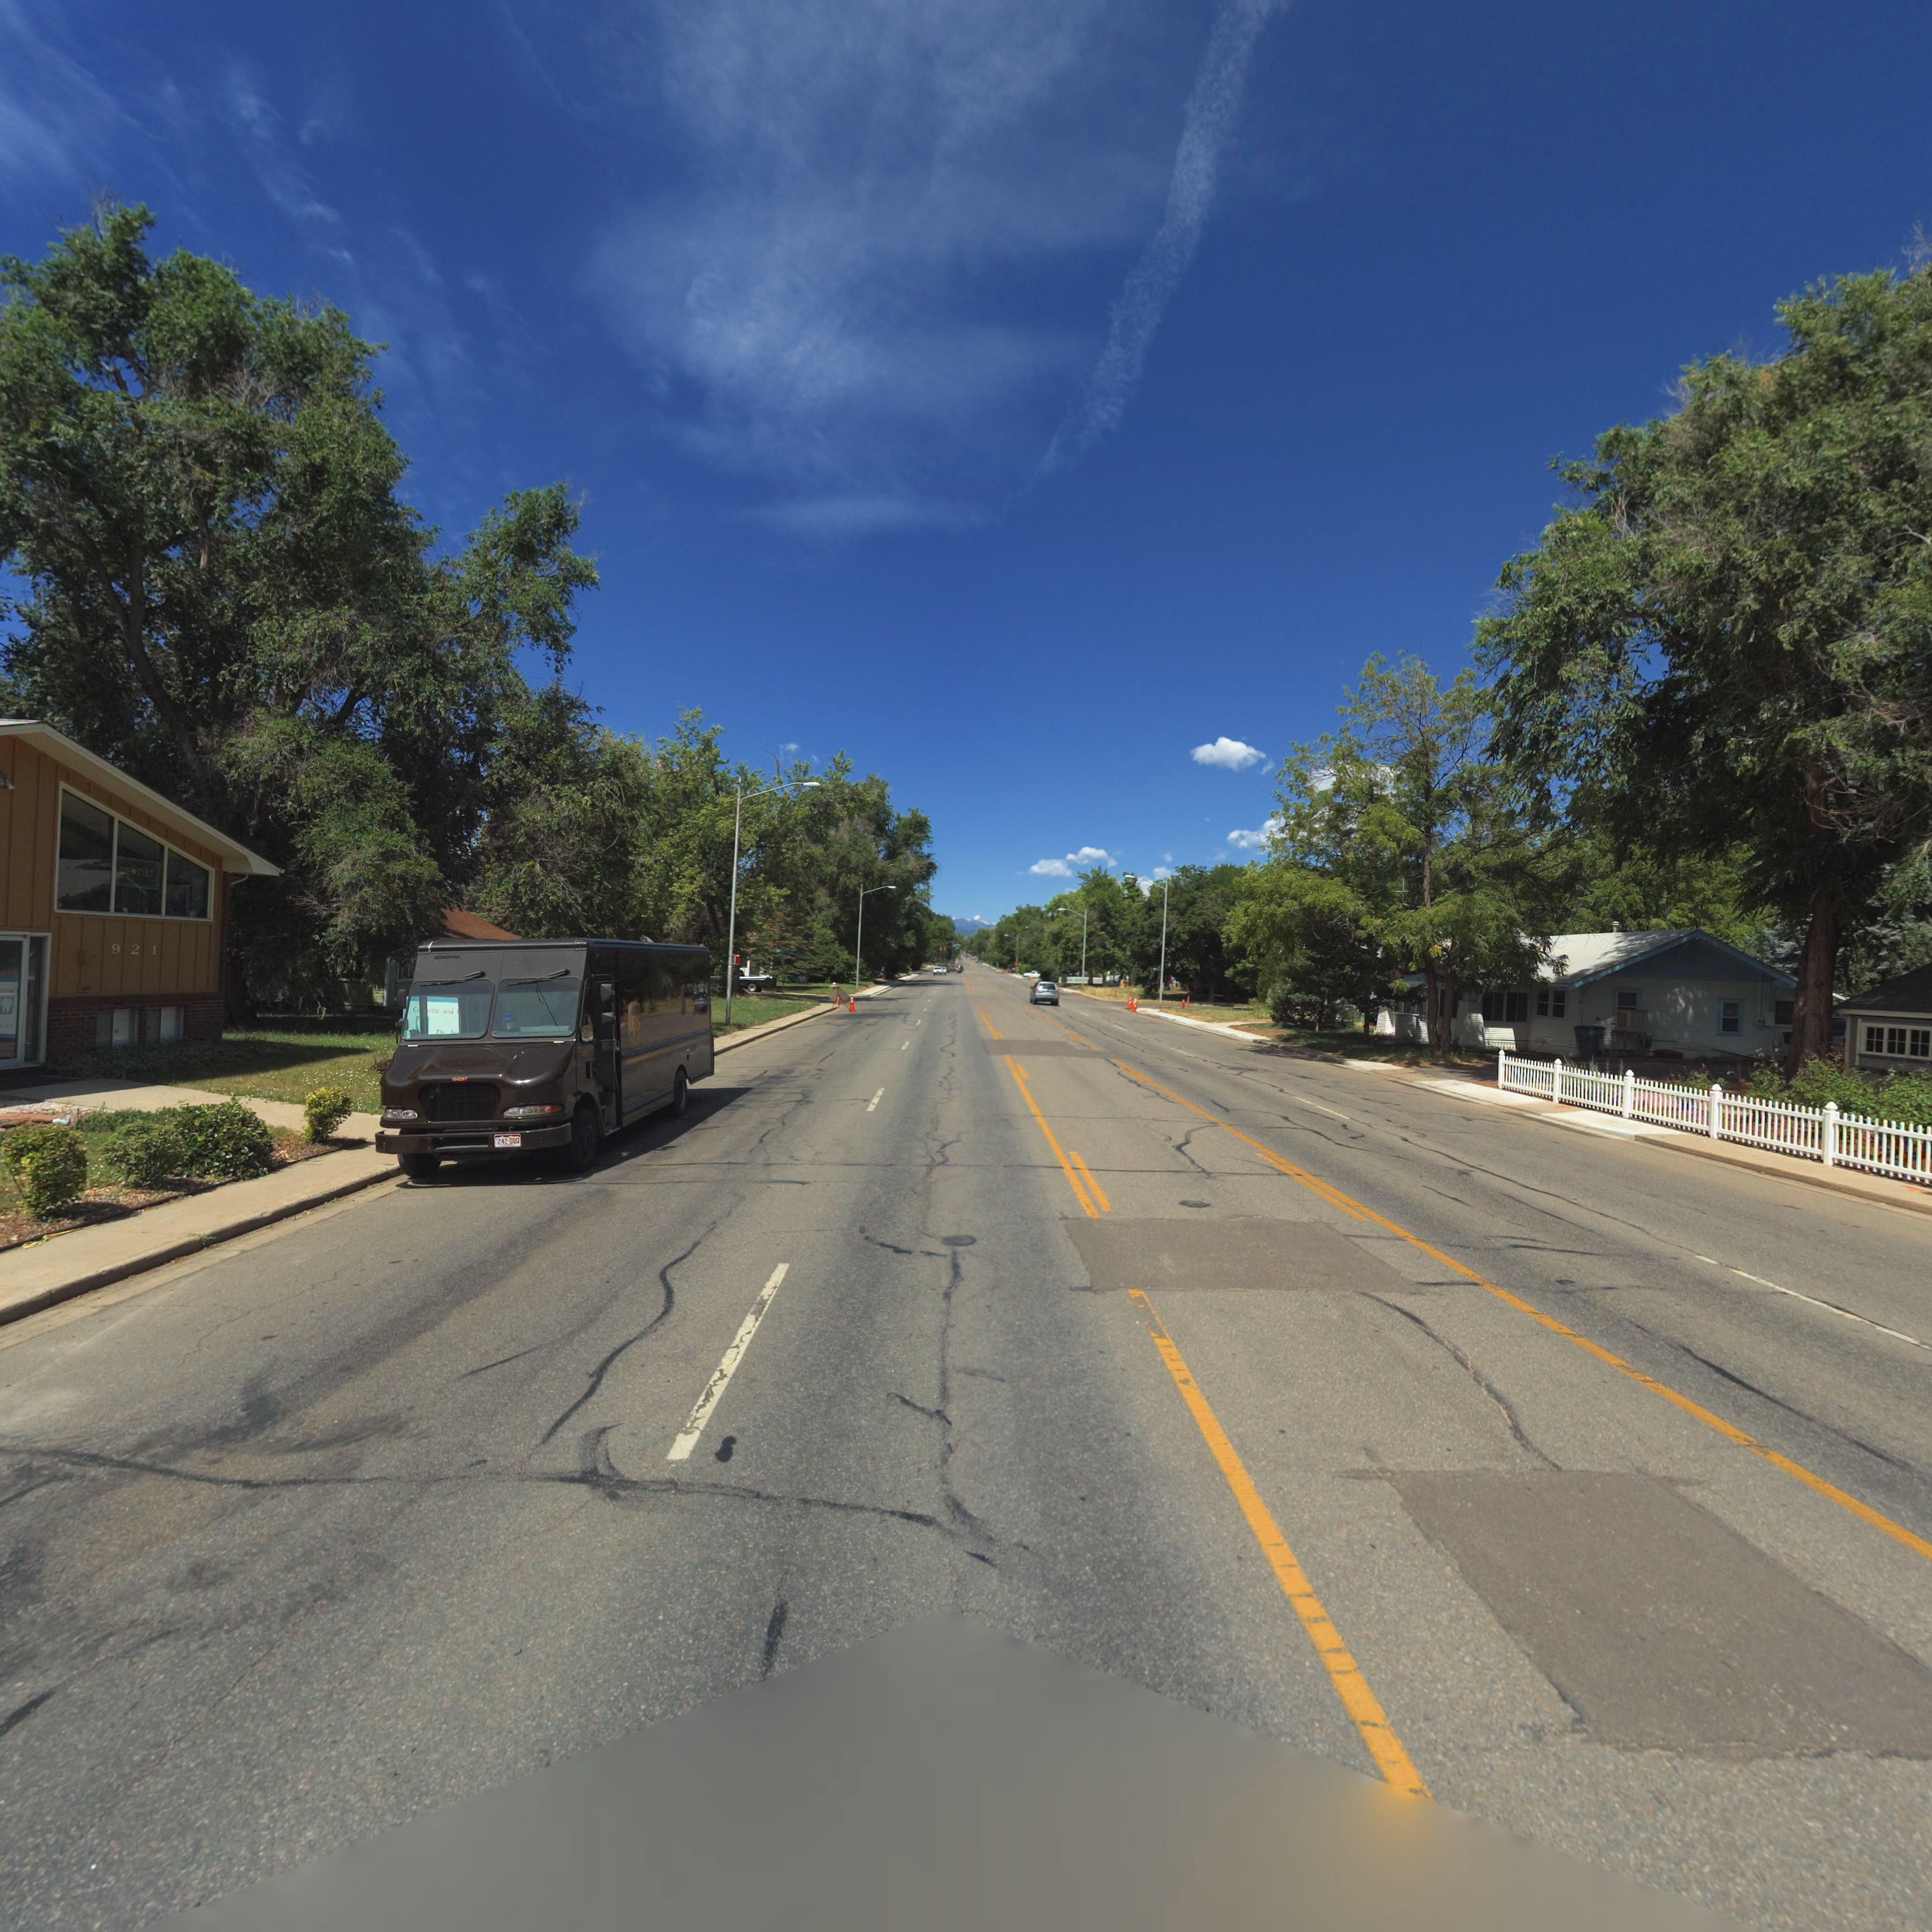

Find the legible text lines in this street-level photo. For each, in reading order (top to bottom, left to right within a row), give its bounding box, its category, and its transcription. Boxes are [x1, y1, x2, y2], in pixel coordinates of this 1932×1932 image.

[110, 943, 158, 956] StreetNumber: 921
[412, 1006, 454, 1014] BusinessName: C***etic and